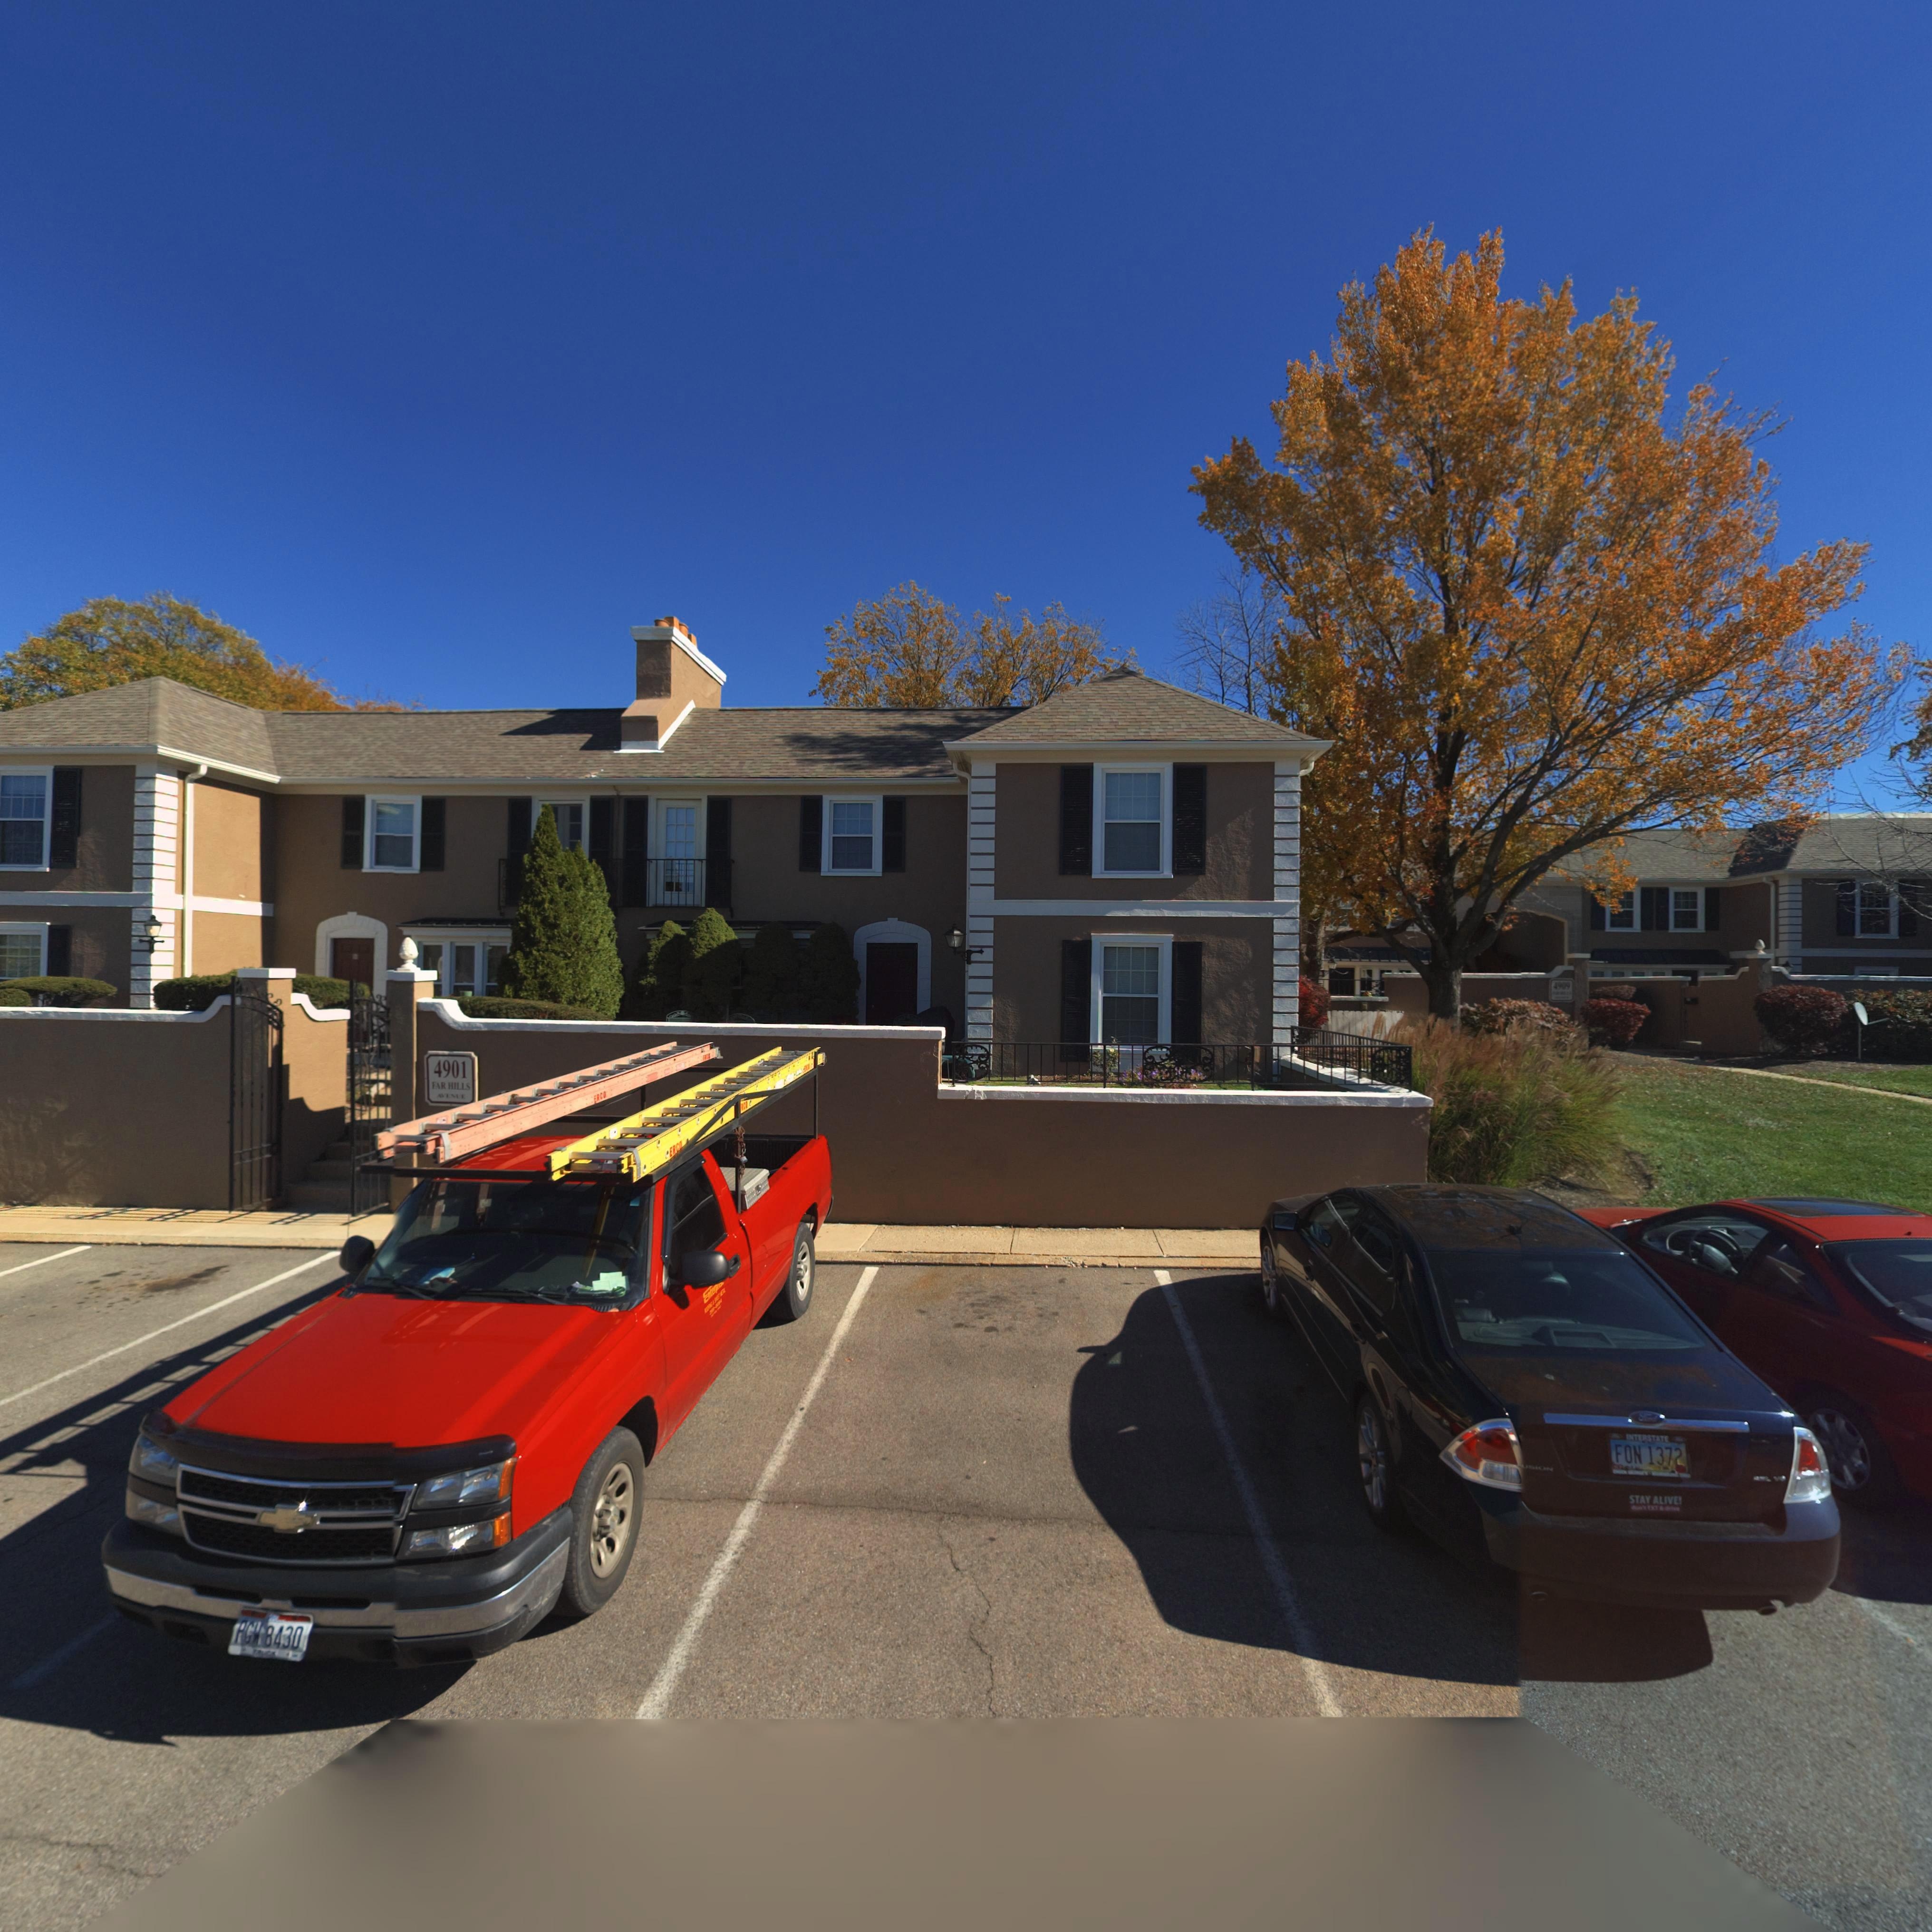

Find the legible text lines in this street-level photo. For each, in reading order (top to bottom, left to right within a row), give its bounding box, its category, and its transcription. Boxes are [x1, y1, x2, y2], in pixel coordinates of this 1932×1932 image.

[432, 1059, 468, 1079] StreetNumber: 4901